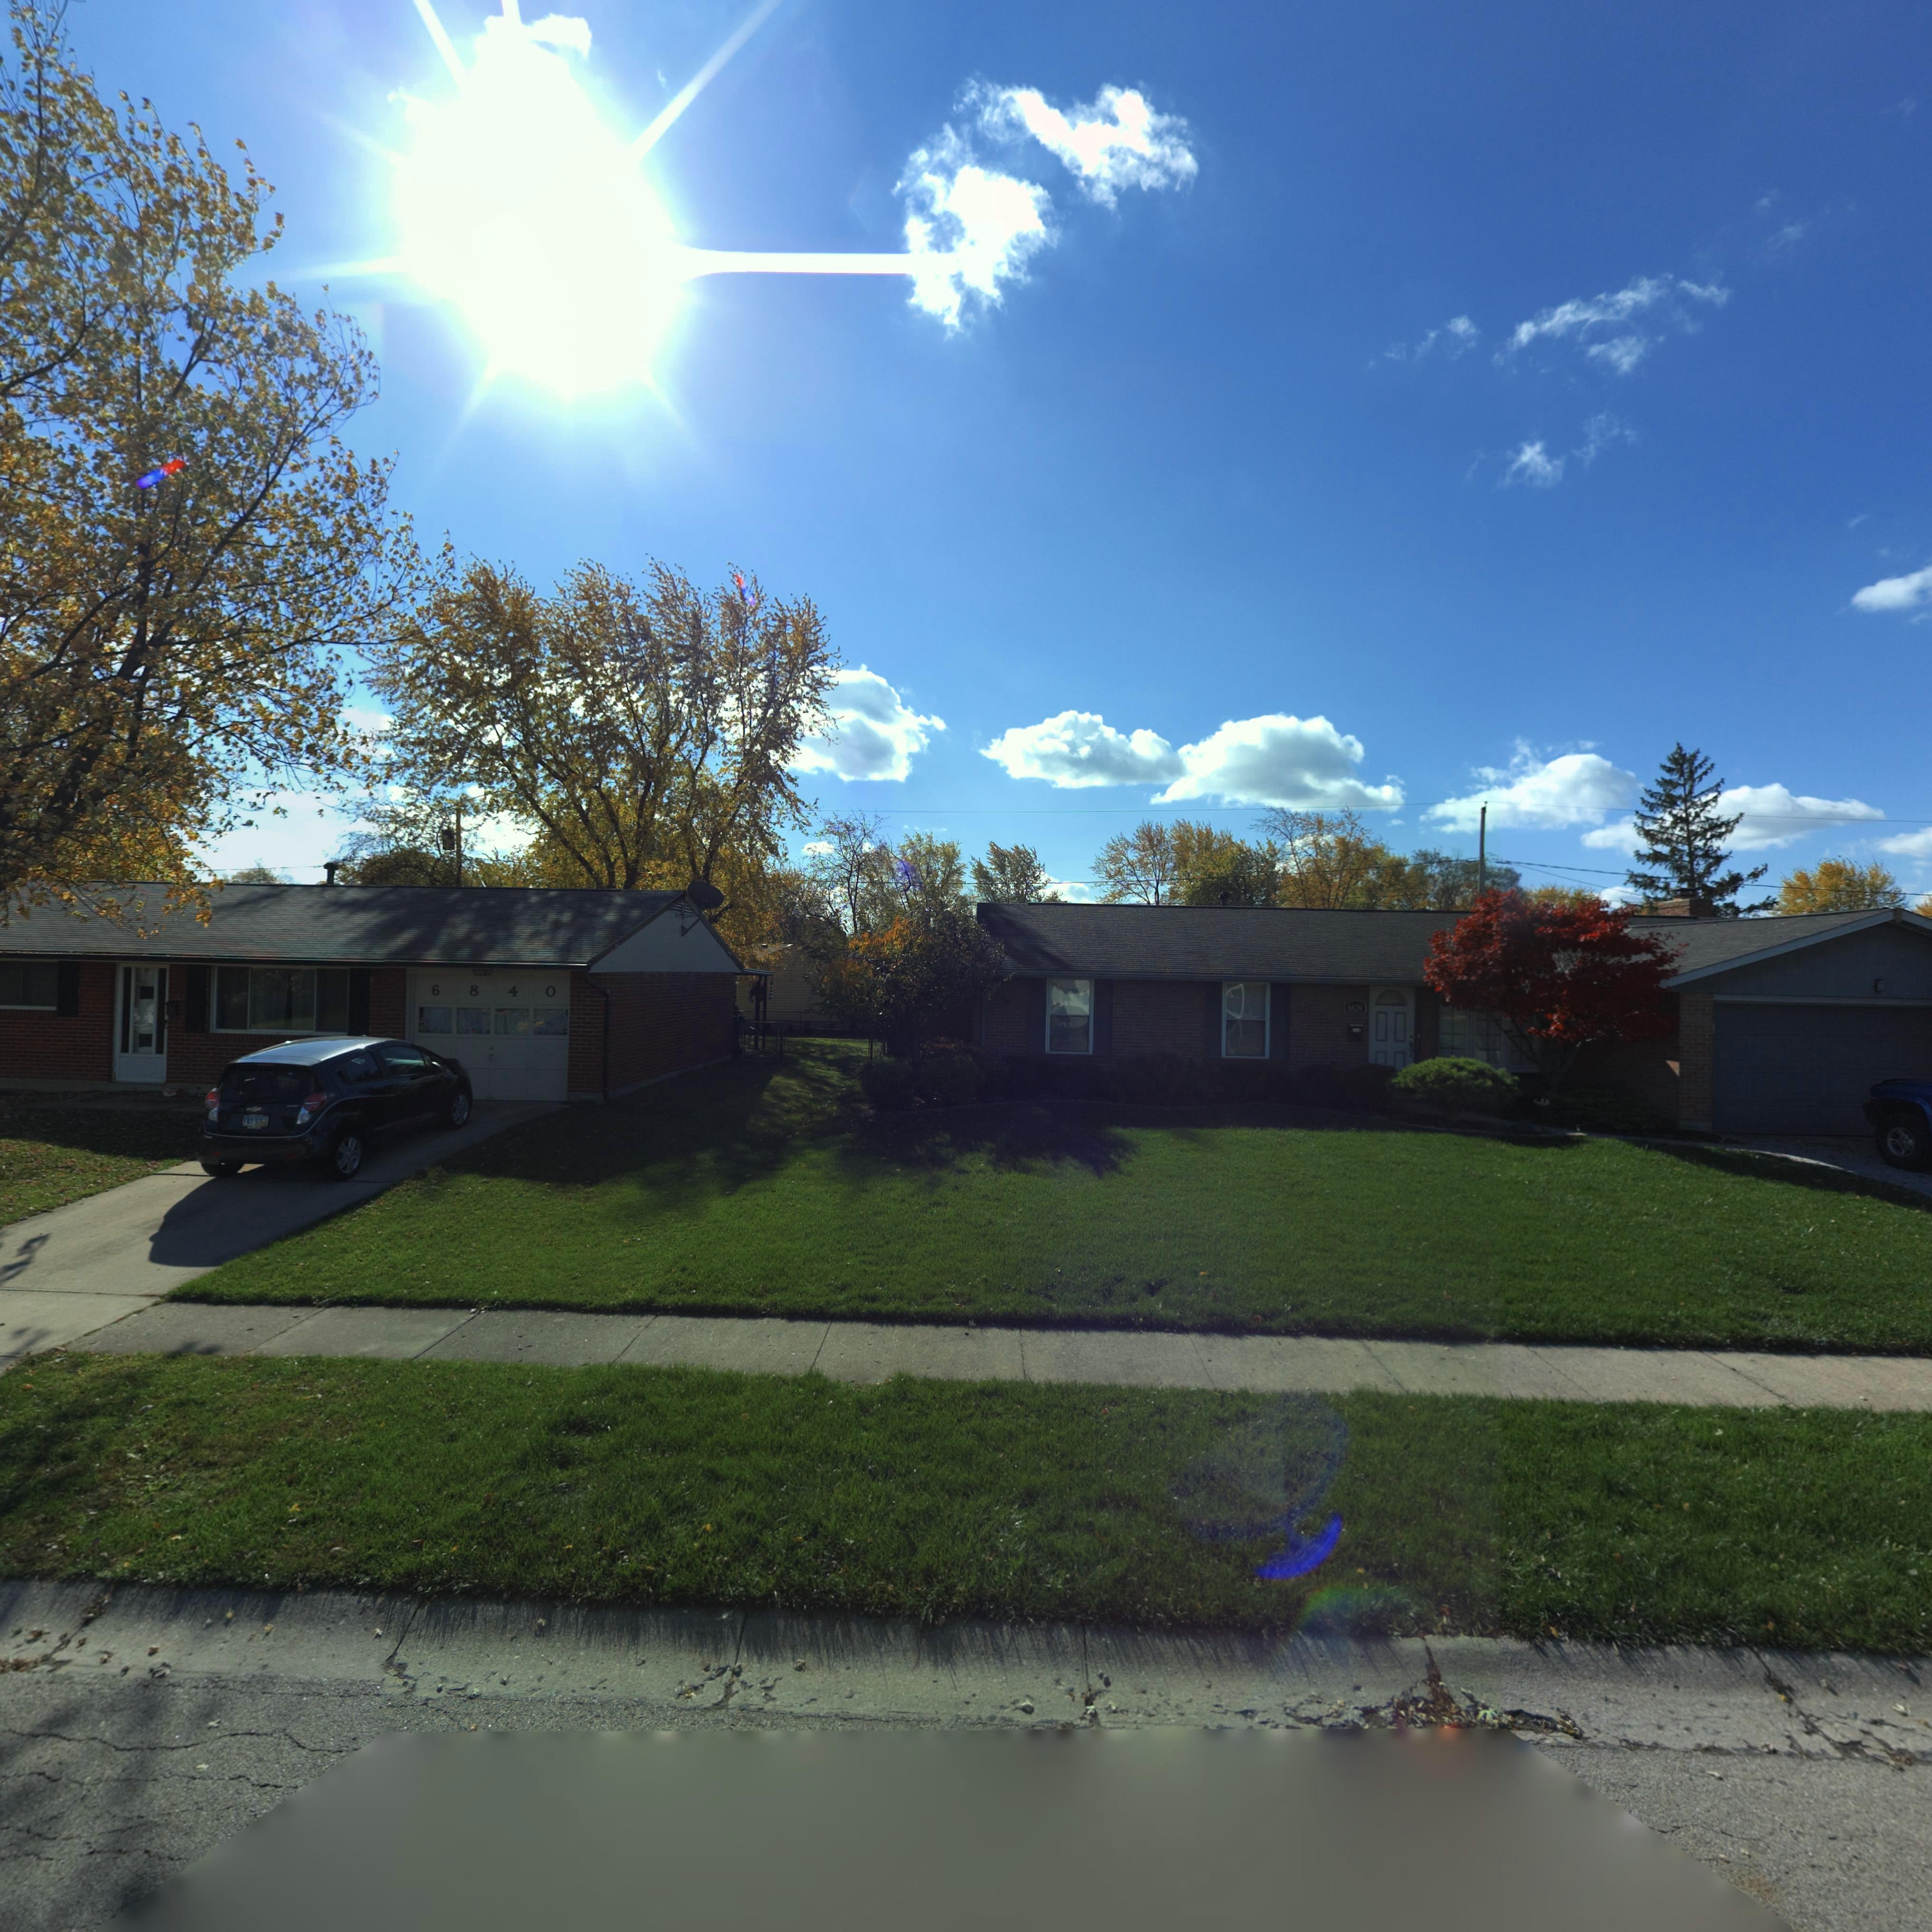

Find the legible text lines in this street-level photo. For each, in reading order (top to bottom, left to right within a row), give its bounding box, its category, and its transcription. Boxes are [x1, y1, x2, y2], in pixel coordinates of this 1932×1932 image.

[430, 983, 558, 999] StreetNumber: 6*8*4*0
[1346, 1003, 1364, 1013] StreetNumber: 6820